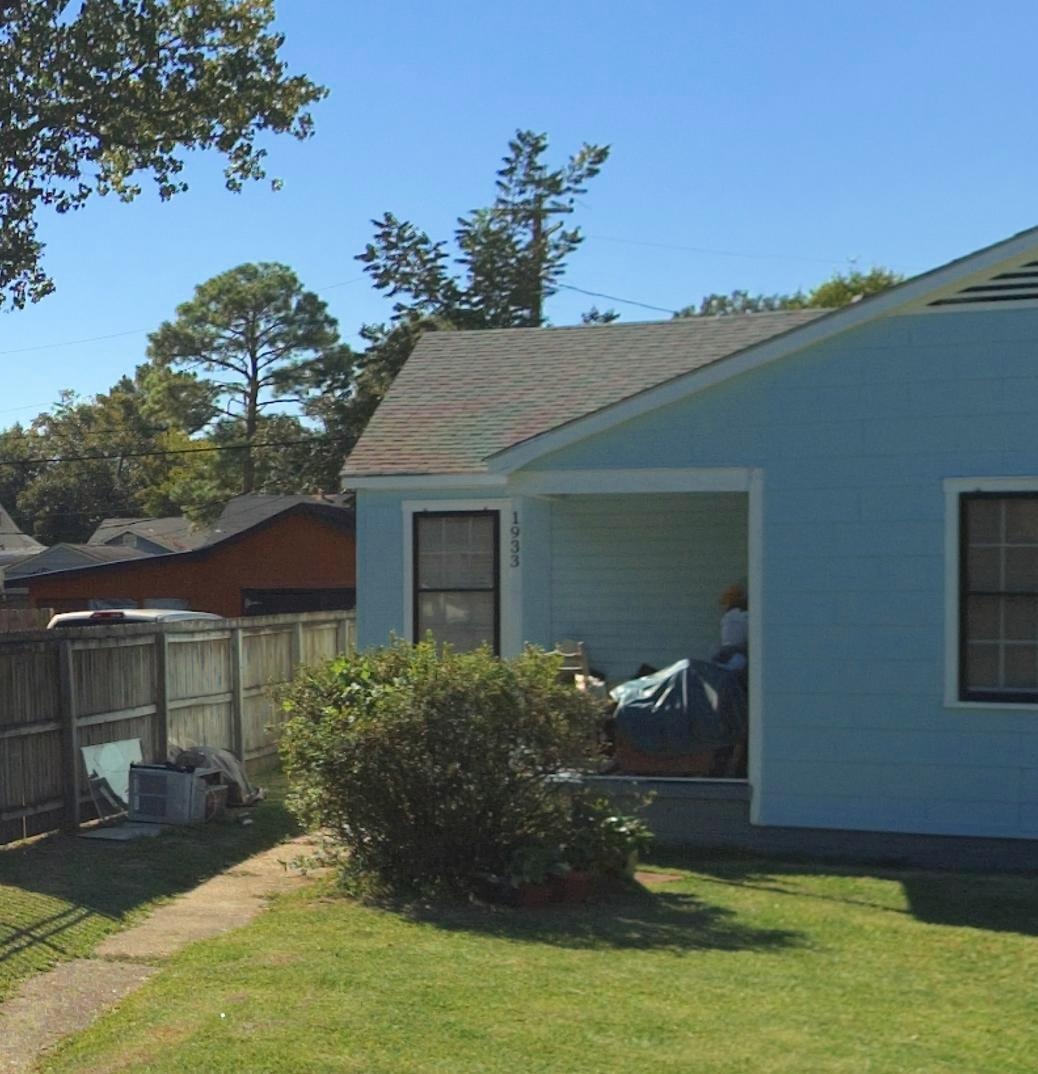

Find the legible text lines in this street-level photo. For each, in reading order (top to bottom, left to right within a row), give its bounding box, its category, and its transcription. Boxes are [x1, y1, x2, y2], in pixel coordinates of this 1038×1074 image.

[509, 510, 521, 569] StreetNumber: 1933